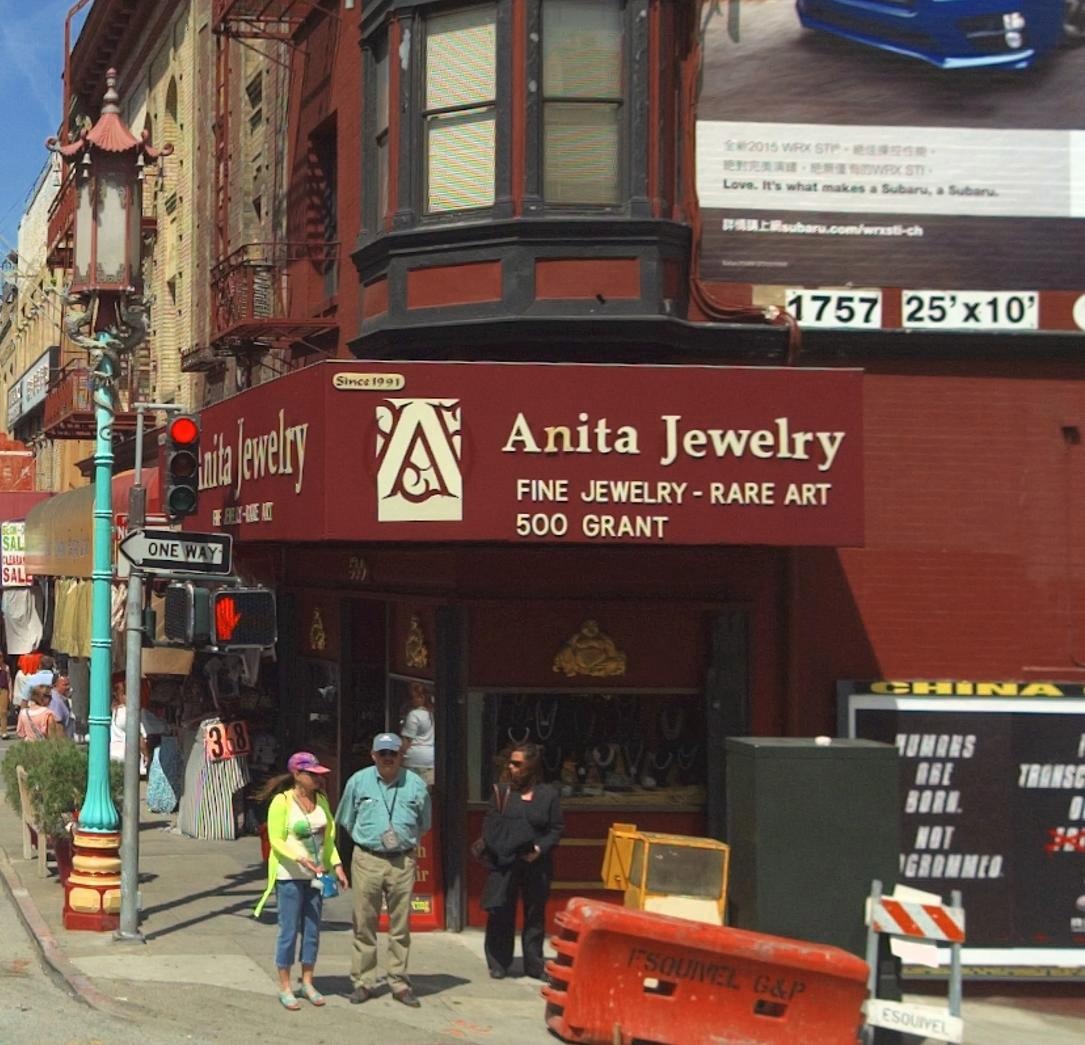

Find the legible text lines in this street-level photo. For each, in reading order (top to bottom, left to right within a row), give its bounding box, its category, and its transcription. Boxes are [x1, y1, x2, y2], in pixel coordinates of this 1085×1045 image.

[746, 138, 843, 156] None: 2015 WRX STP
[720, 176, 999, 199] None: Love. It's what makes a Subaru, a Subaru
[780, 220, 924, 238] None: subaru.com/wrxsti-ch
[787, 293, 879, 325] None: 1757
[902, 291, 1038, 327] None: 25'x10'
[335, 374, 405, 388] None: Since 1991
[202, 404, 310, 501] BusinessName: nita Jewelry
[492, 409, 854, 474] BusinessName: Anita Jewelry
[514, 476, 834, 508] None: FINE JEWELRY-RARE ART
[2, 535, 27, 551] None: SAL
[116, 524, 127, 541] None: N
[146, 539, 219, 561] None: ONE WAY
[513, 511, 569, 539] StreetNumber: 500
[580, 511, 668, 540] StreetName: GRANT
[2, 567, 25, 583] None: SAL
[870, 679, 1068, 698] None: CHINA
[892, 730, 981, 759] None: UMANS
[911, 759, 957, 787] None: ARE
[1013, 761, 1077, 790] None: TRANS
[902, 786, 966, 815] None: BORN
[912, 823, 957, 850] None: NOT
[902, 850, 1007, 880] None: GROMMED
[620, 943, 814, 1003] StreetName: FSQUIVEL G&P
[880, 1003, 952, 1039] StreetName: ESQUIVEL